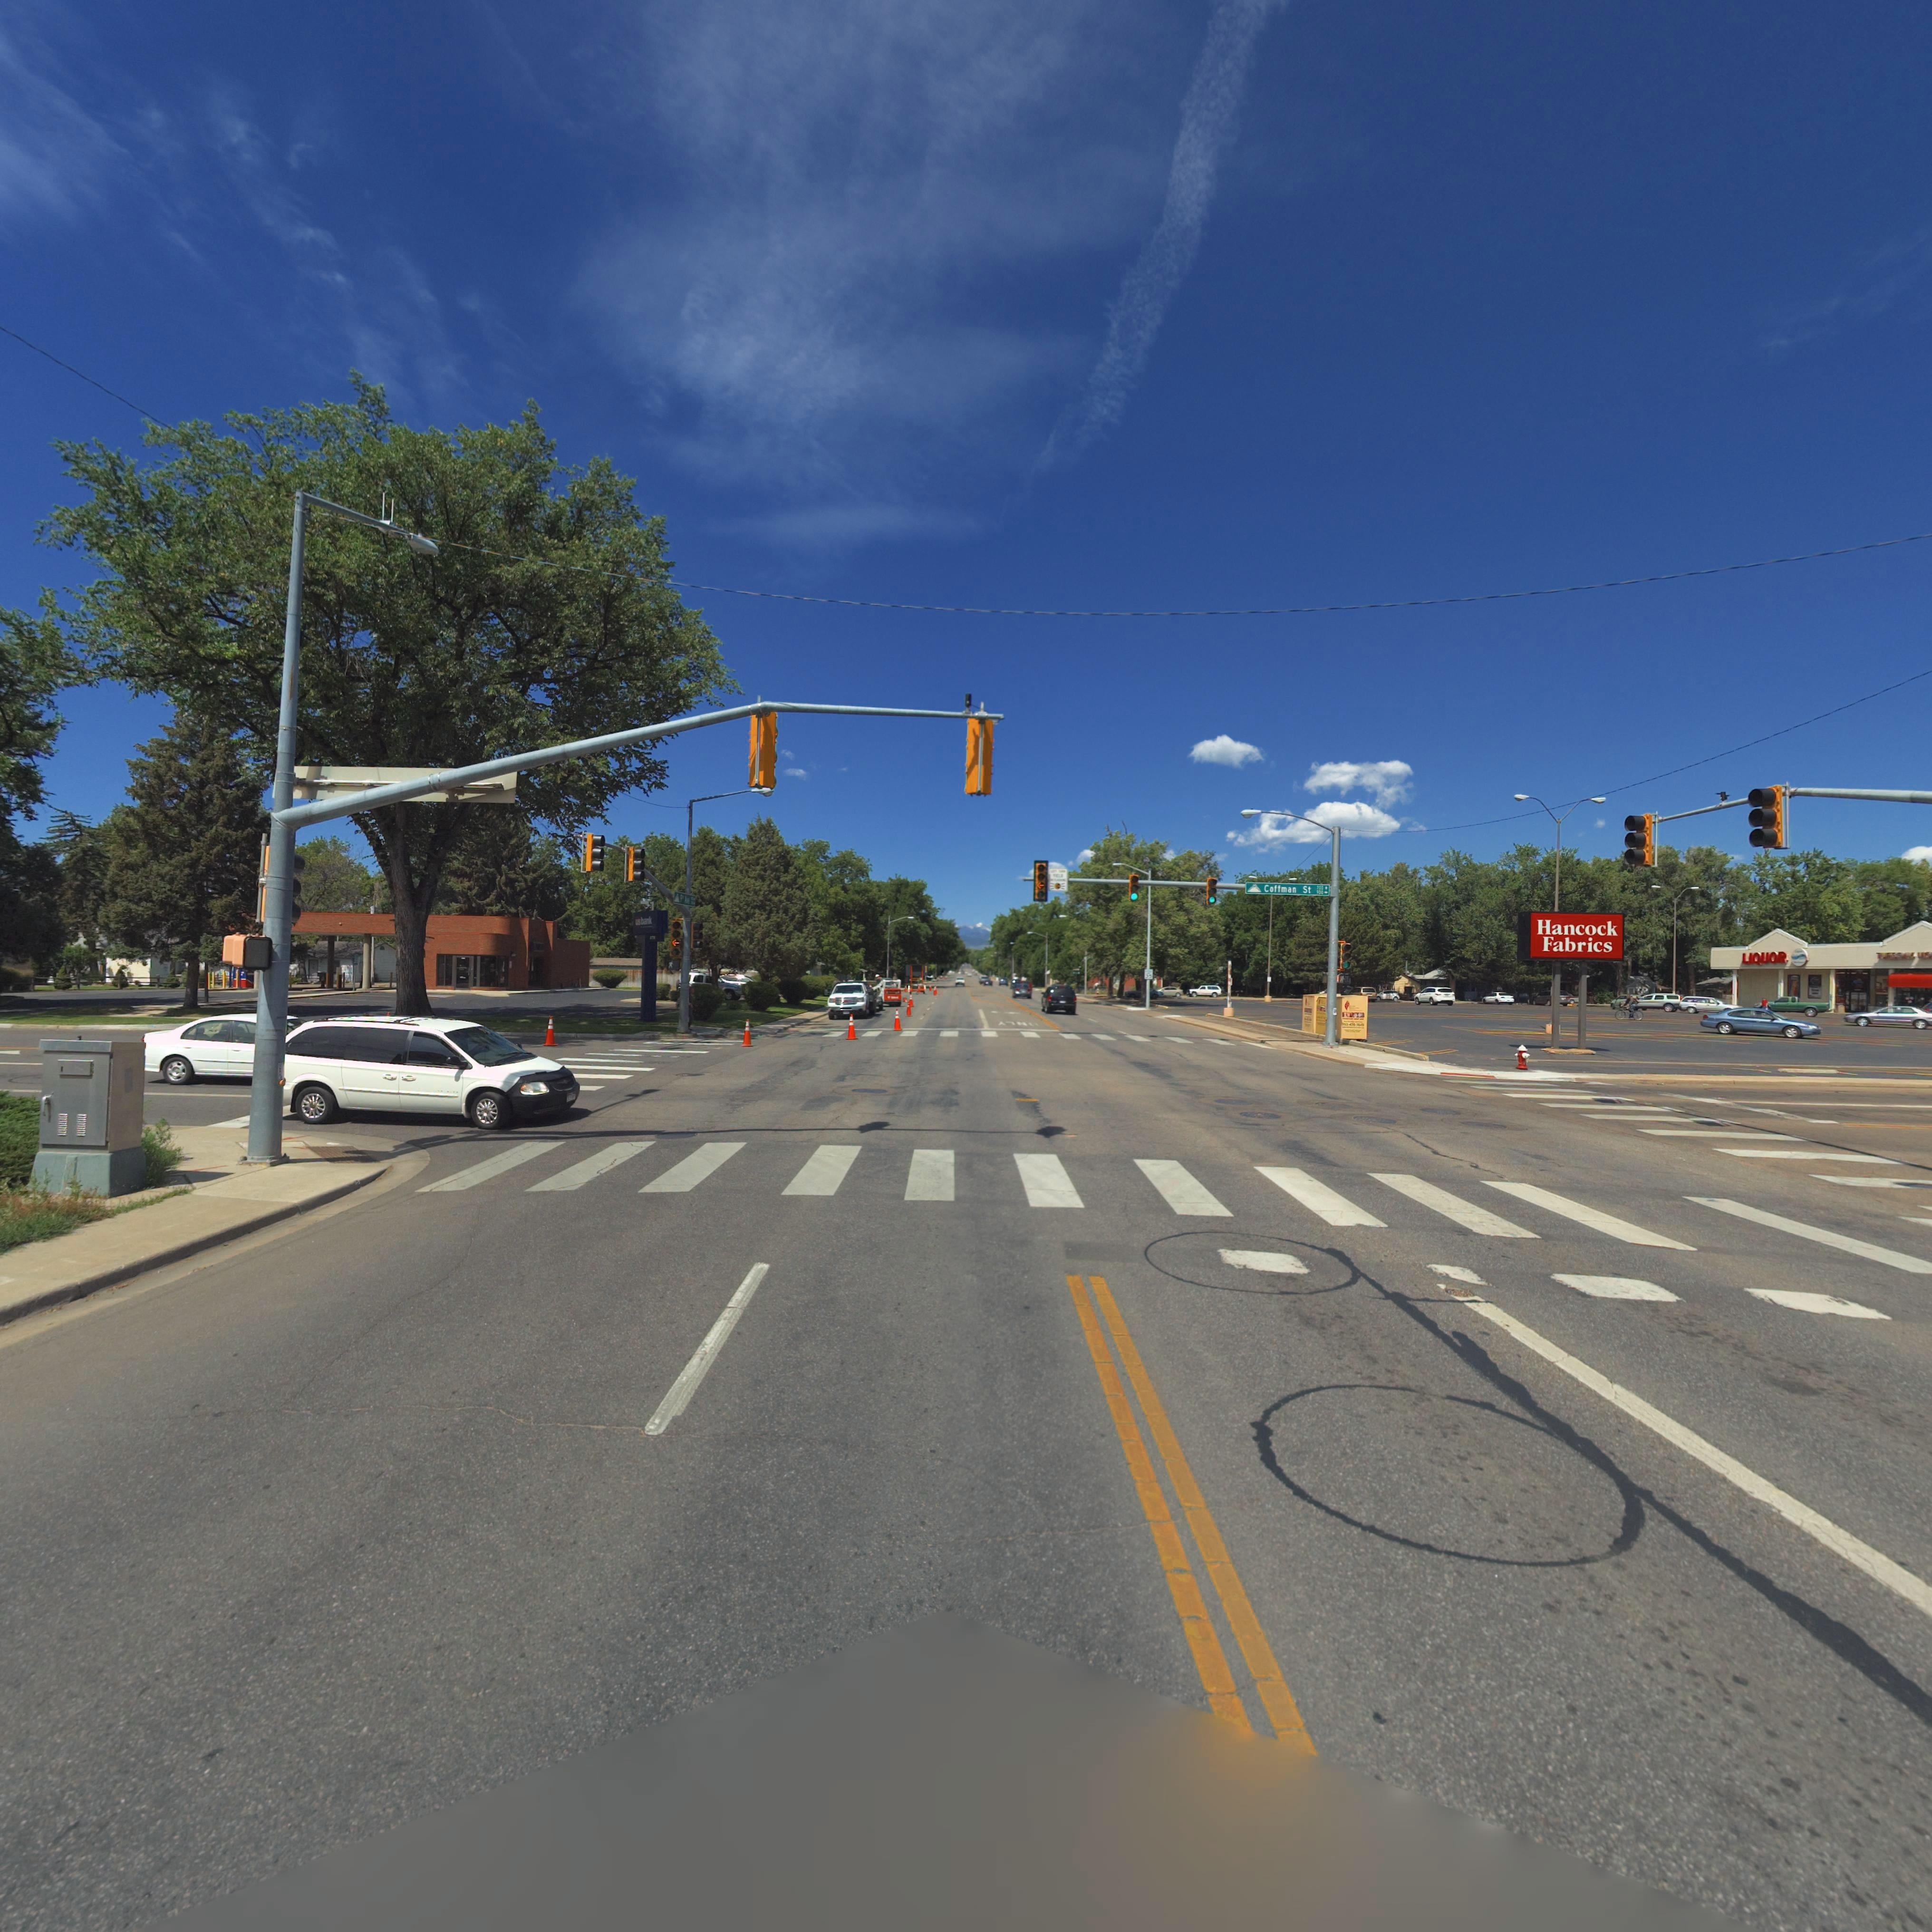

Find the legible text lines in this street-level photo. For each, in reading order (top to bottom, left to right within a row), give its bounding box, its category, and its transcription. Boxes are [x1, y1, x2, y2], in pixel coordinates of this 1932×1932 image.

[1264, 884, 1311, 894] StreetName: Coffman St
[1316, 889, 1323, 895] StreetNumberRange: *0*
[679, 893, 690, 904] StreetName: 9** ***
[635, 915, 652, 926] BusinessName: u* ba**
[1536, 919, 1618, 936] BusinessName: Hancock
[1542, 936, 1613, 953] BusinessName: Fabrics